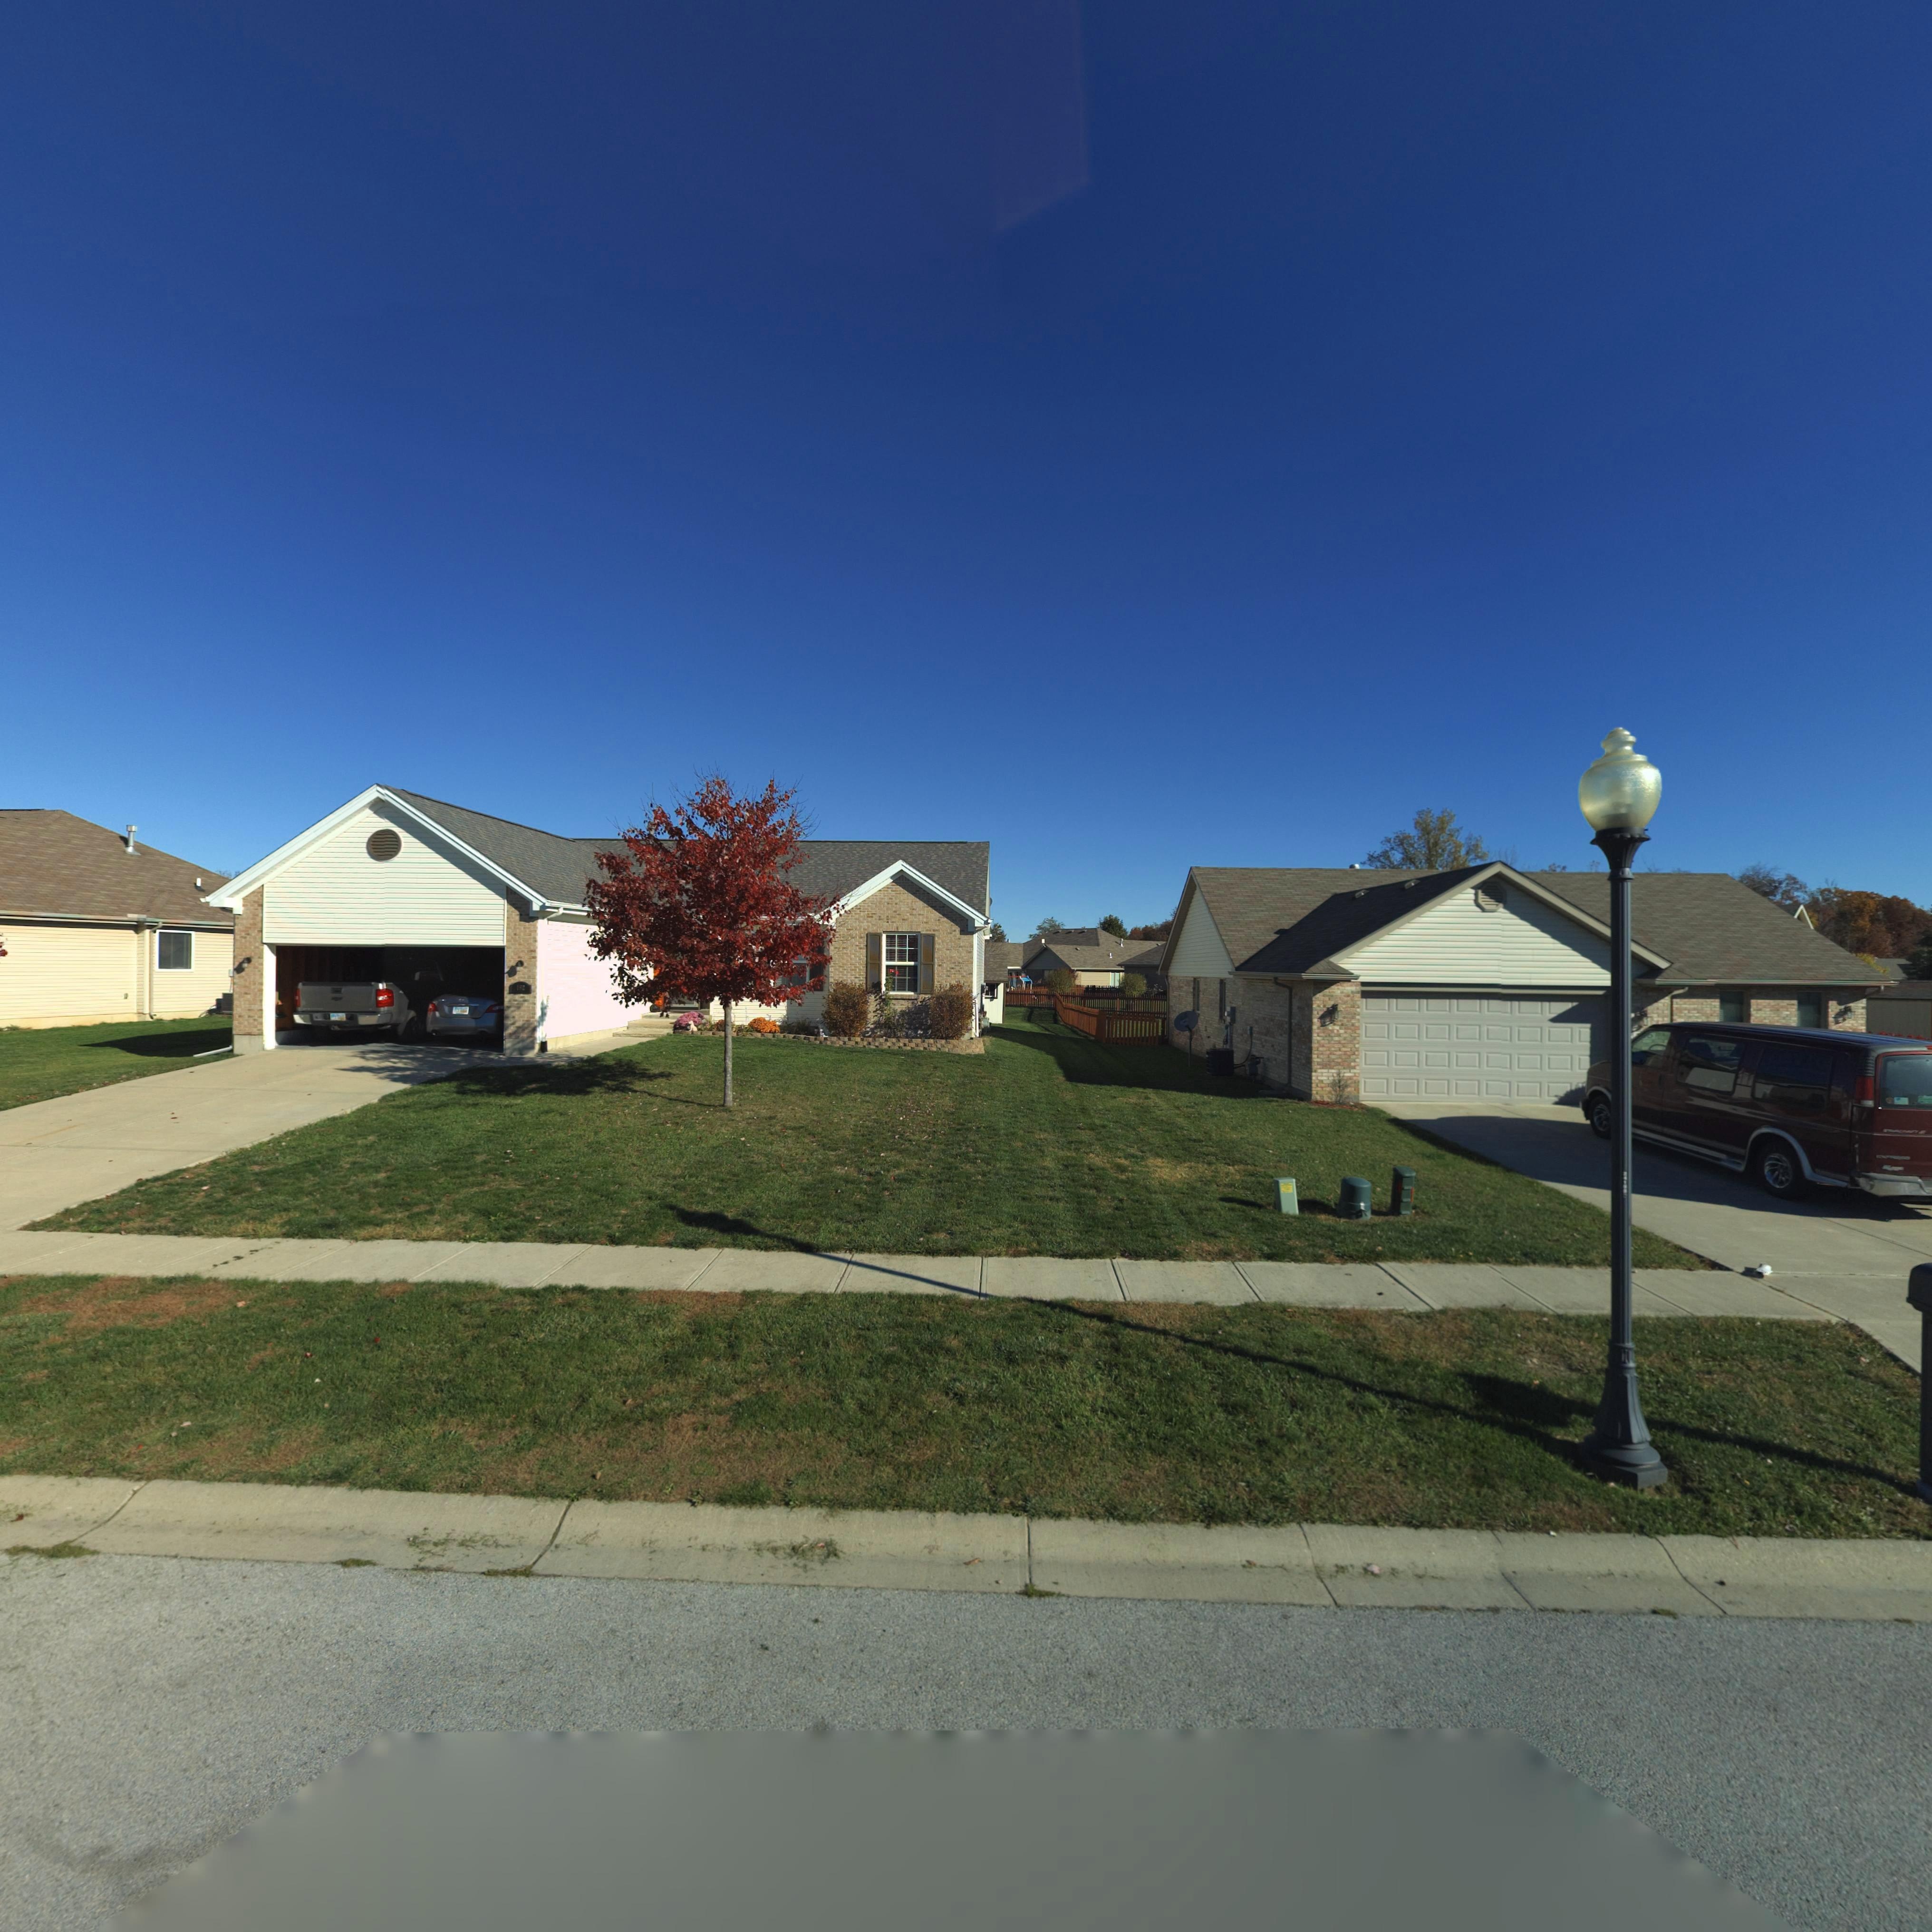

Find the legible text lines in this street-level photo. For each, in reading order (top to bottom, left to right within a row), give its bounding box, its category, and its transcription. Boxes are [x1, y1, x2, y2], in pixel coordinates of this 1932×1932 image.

[516, 984, 526, 991] StreetNumber: 162